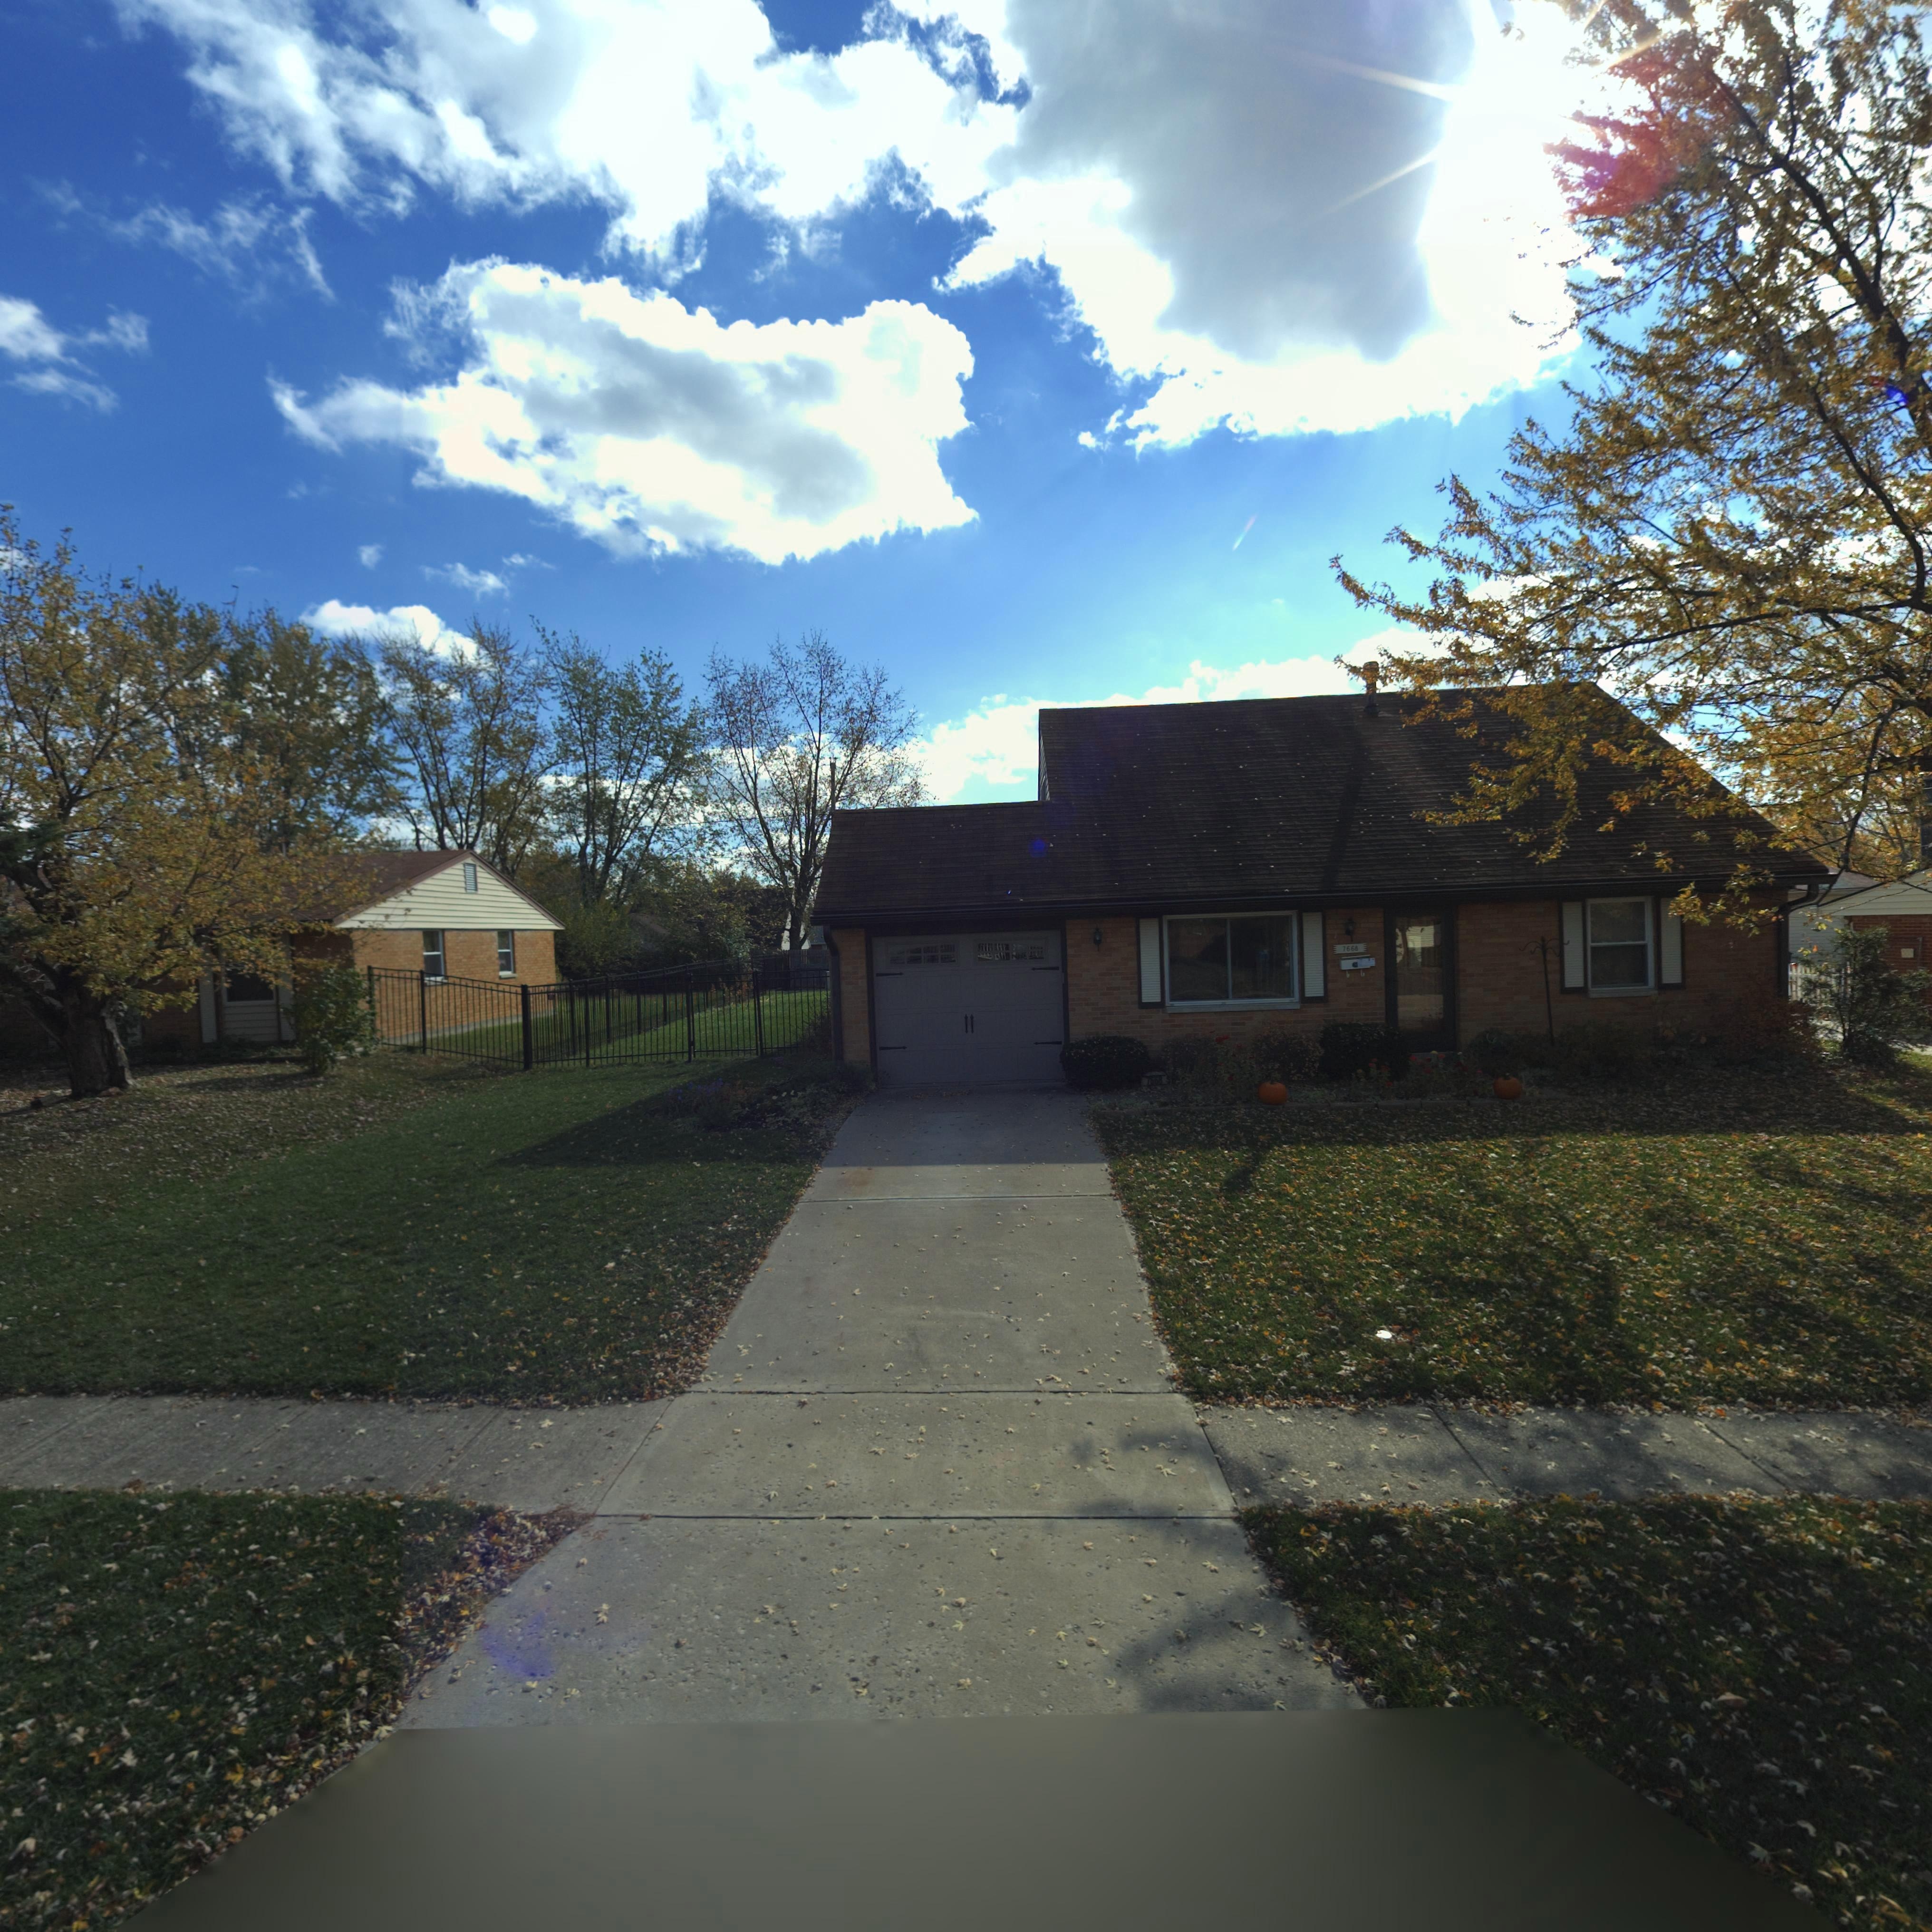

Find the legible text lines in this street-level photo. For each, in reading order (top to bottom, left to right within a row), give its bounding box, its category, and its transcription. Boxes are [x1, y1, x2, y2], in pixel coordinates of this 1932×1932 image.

[1341, 945, 1359, 952] StreetNumber: 7668